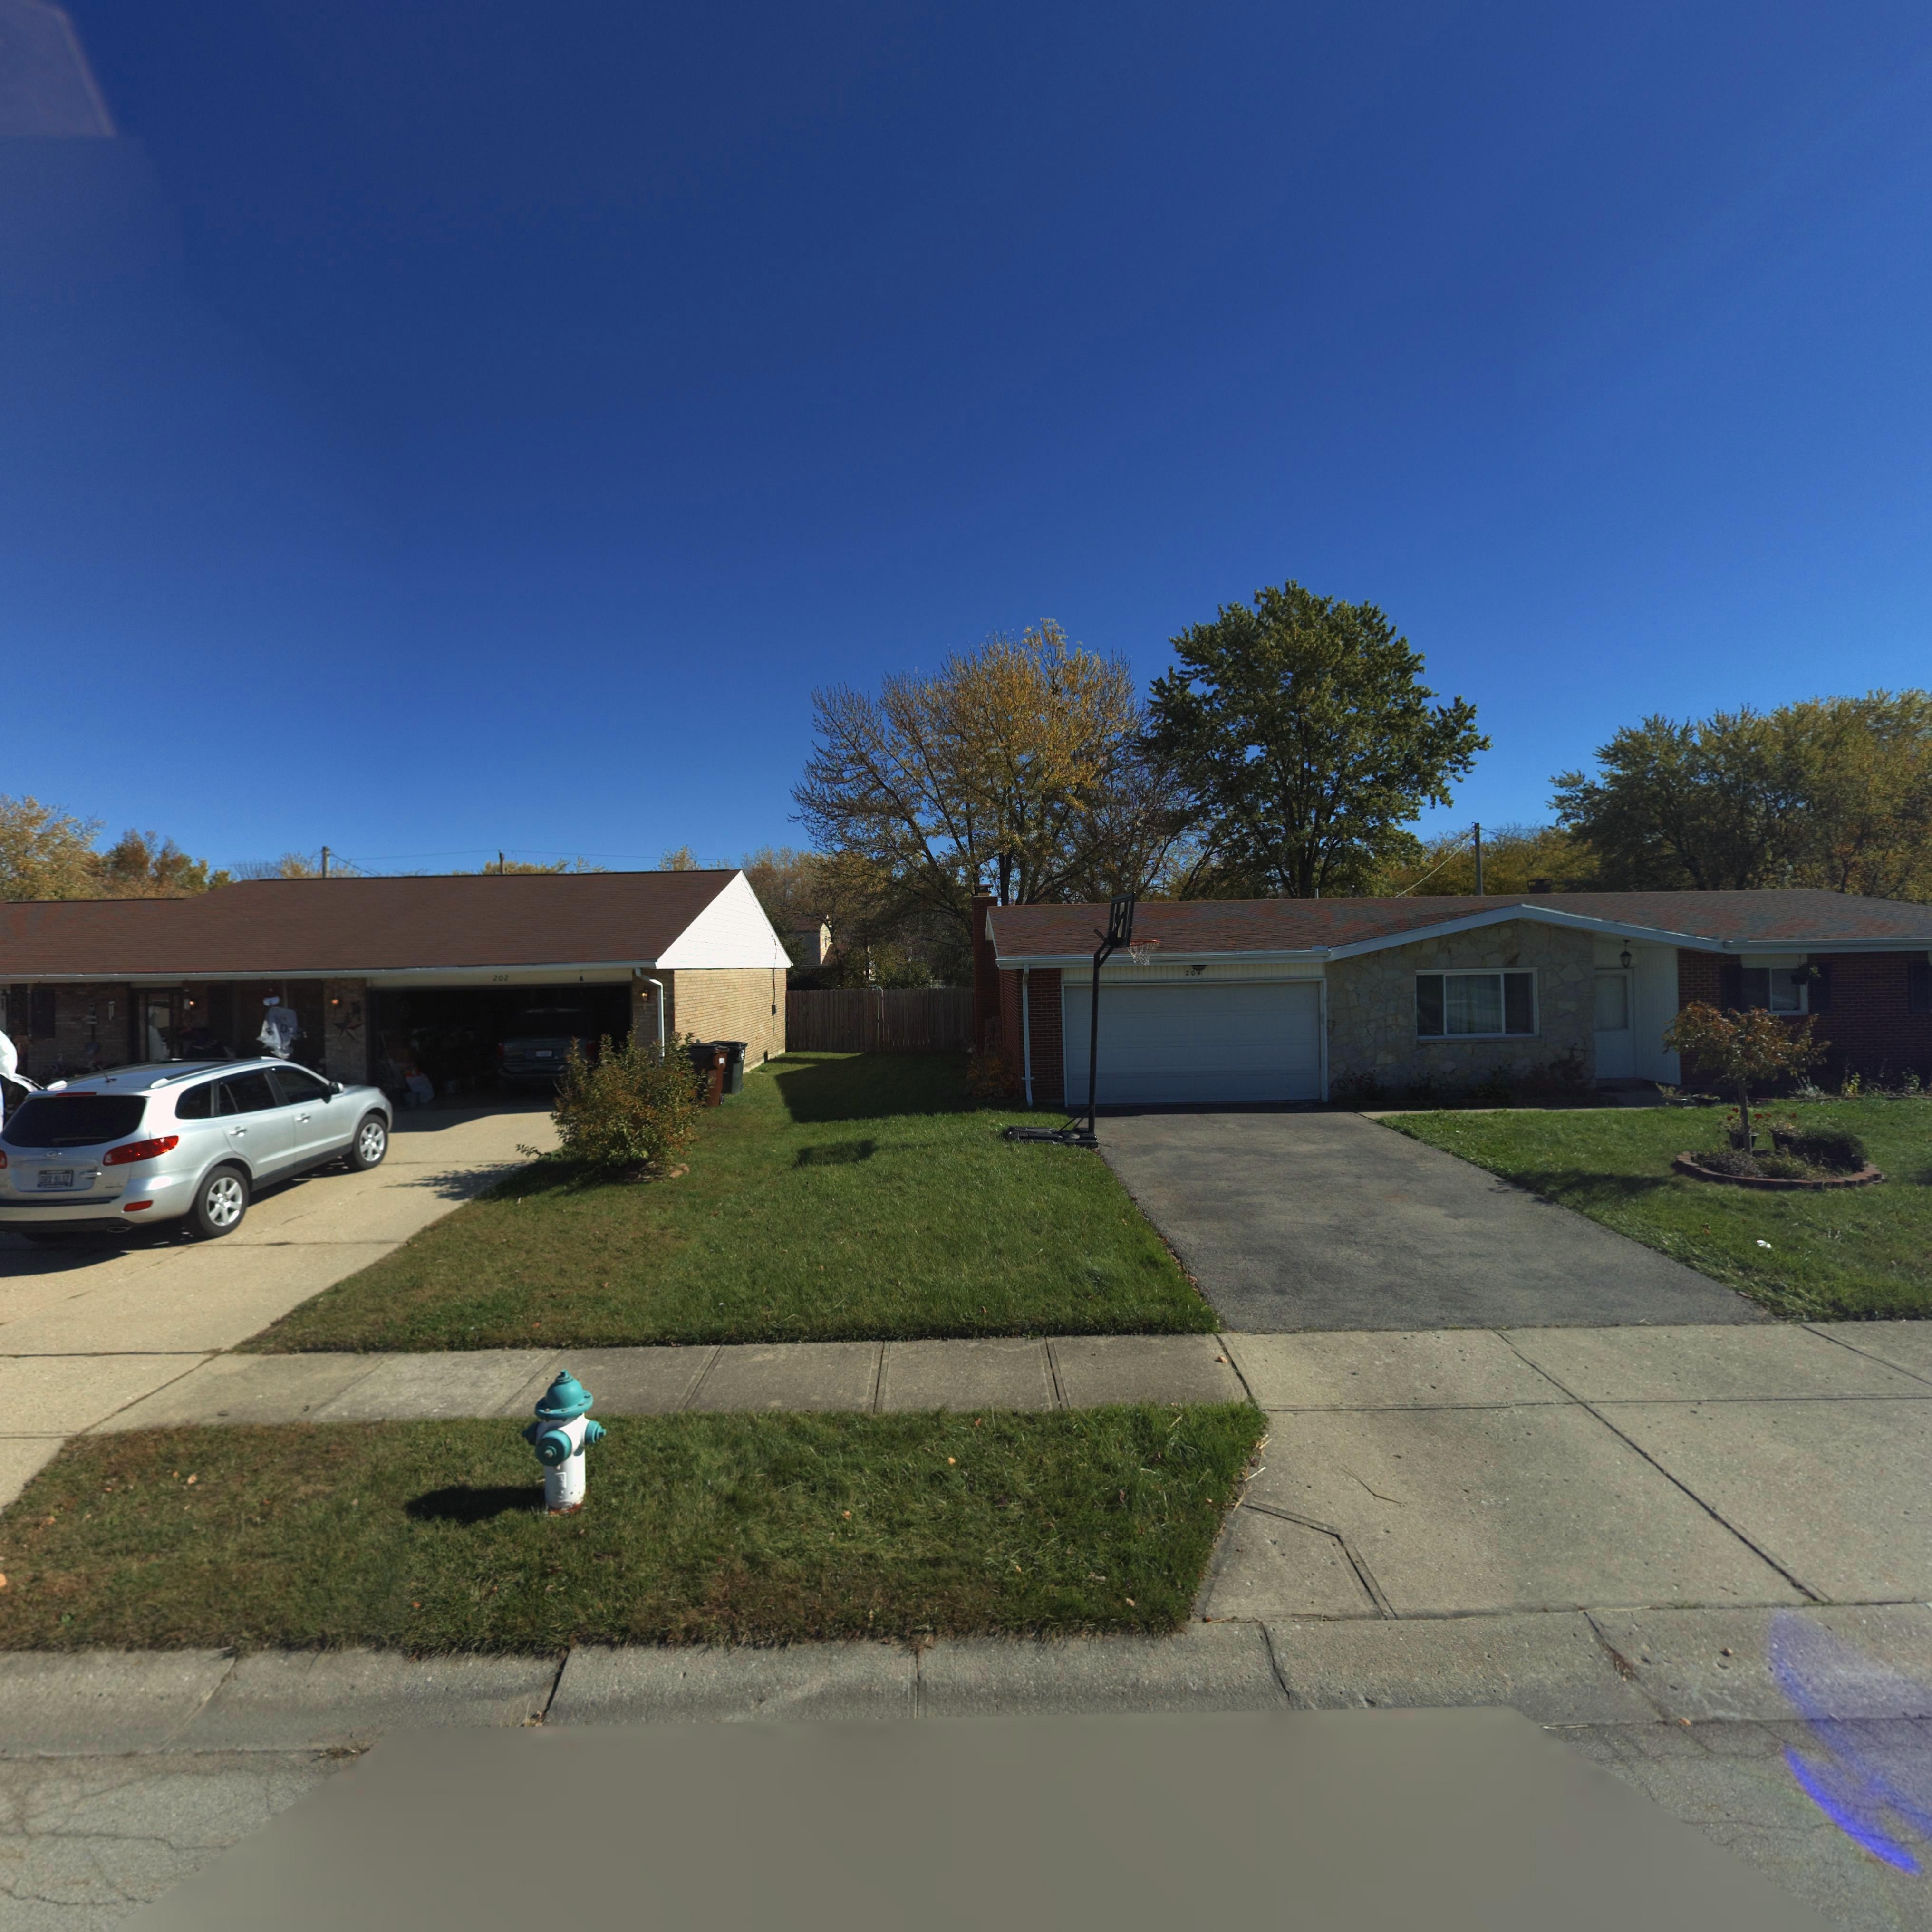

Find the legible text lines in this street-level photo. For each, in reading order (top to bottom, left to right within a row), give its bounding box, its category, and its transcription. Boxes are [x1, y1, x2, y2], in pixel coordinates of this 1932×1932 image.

[1185, 970, 1201, 976] StreetNumber: 204
[492, 974, 509, 981] StreetNumber: 202